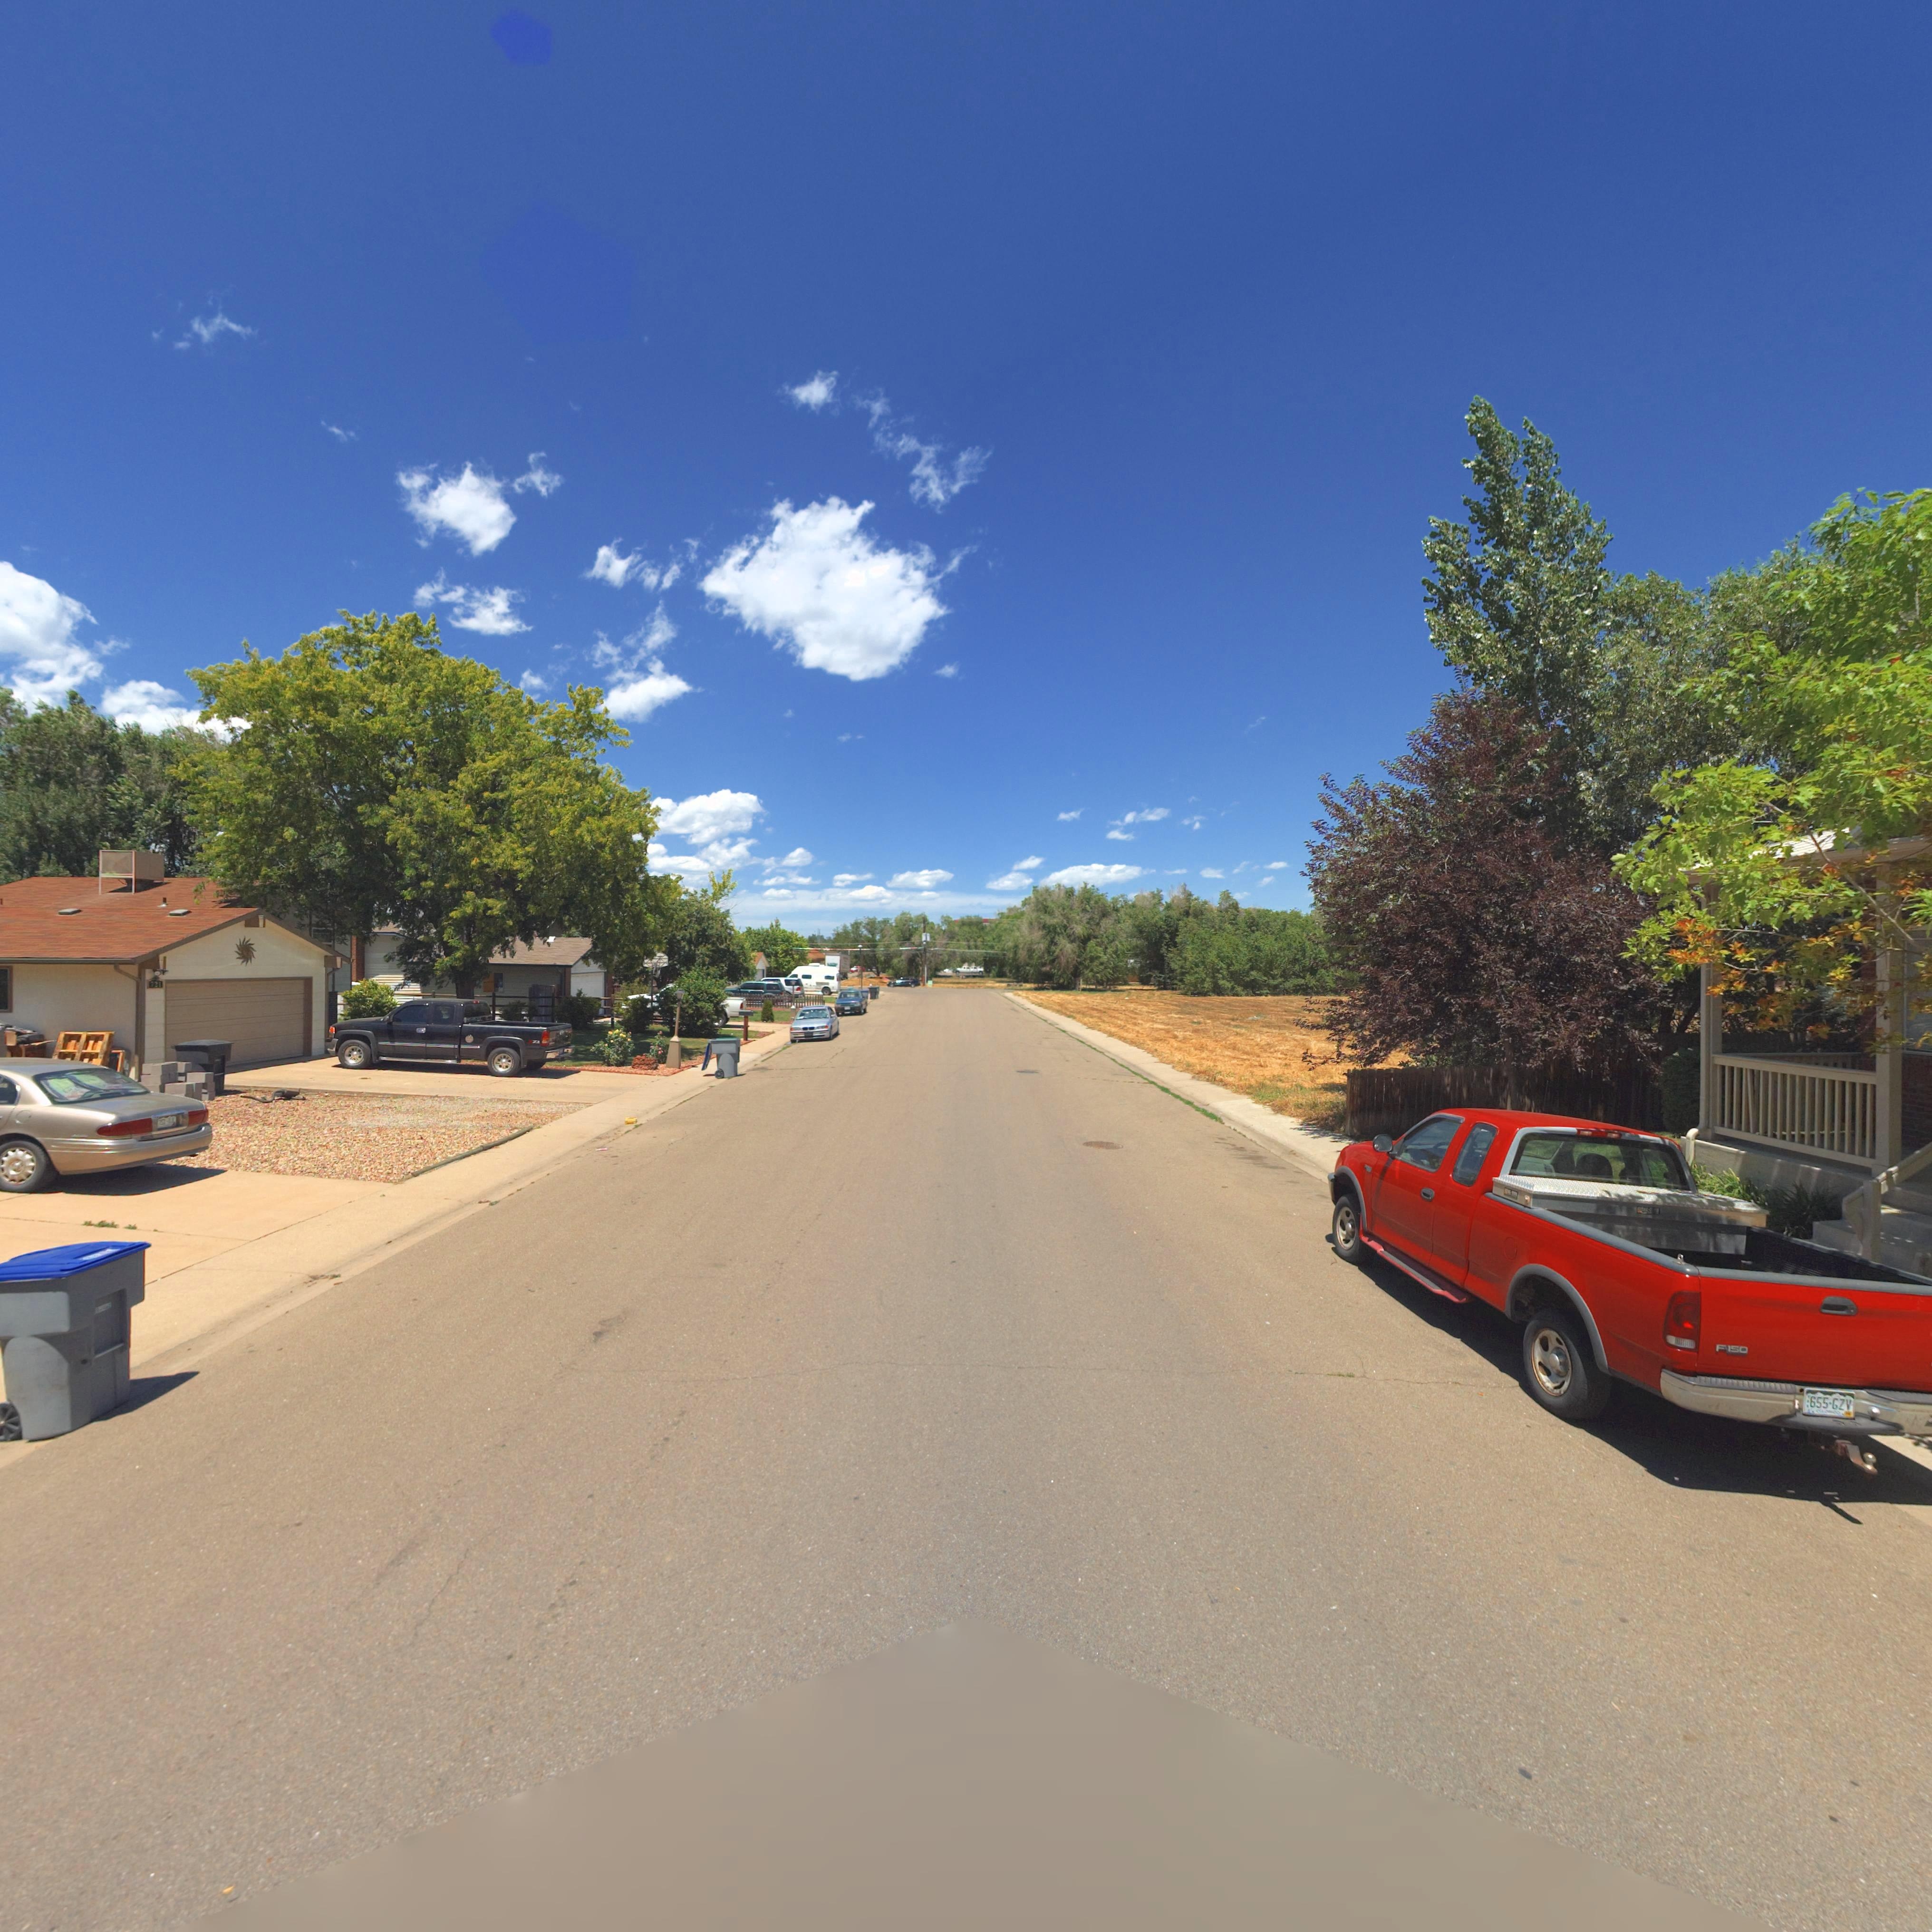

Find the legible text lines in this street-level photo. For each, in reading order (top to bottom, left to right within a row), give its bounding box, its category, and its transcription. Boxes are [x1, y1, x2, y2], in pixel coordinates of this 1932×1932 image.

[150, 981, 161, 987] StreetNumber: 721